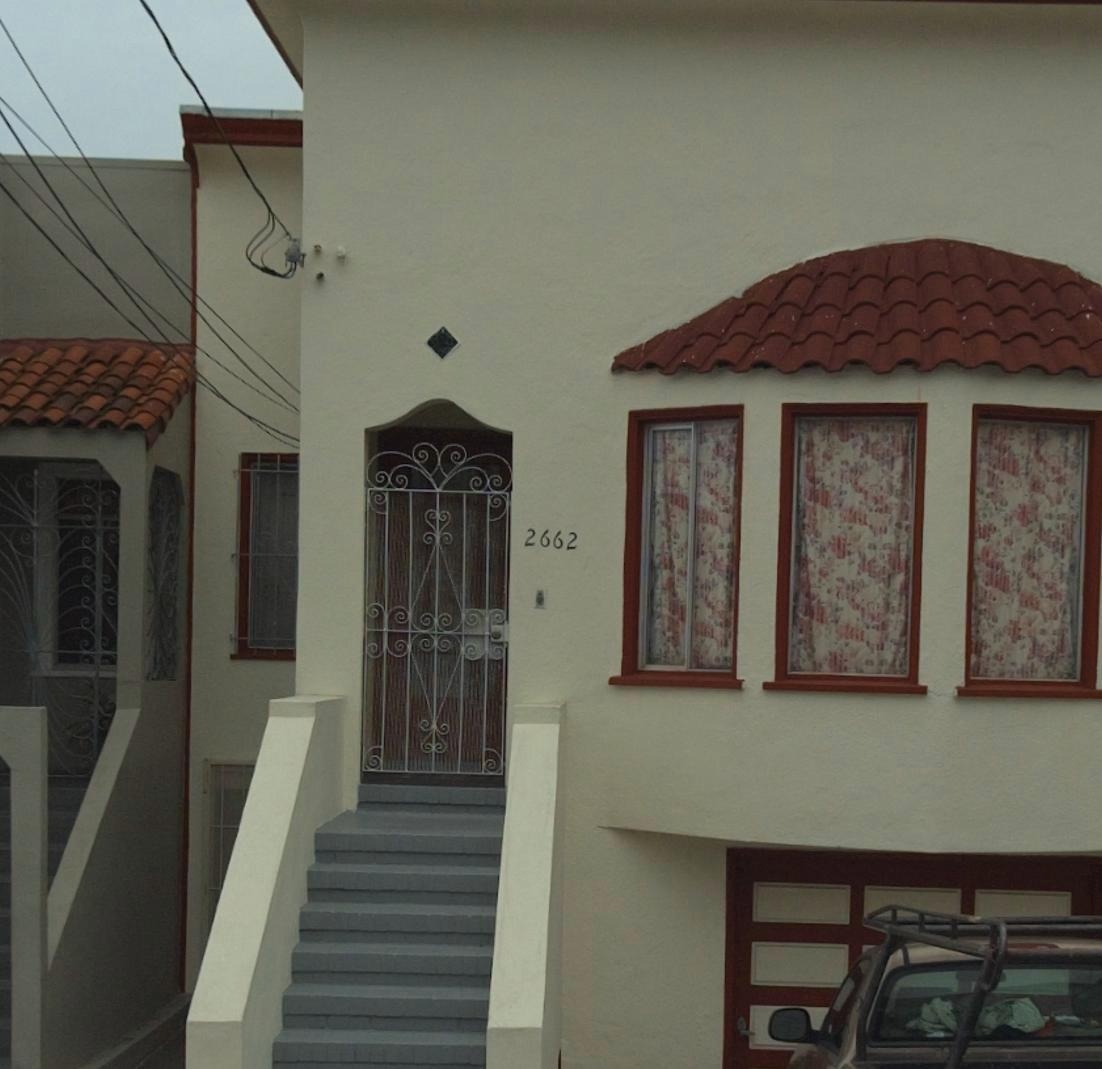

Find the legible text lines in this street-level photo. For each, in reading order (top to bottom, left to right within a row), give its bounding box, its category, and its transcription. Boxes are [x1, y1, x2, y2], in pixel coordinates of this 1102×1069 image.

[523, 526, 580, 551] StreetNumber: 2662